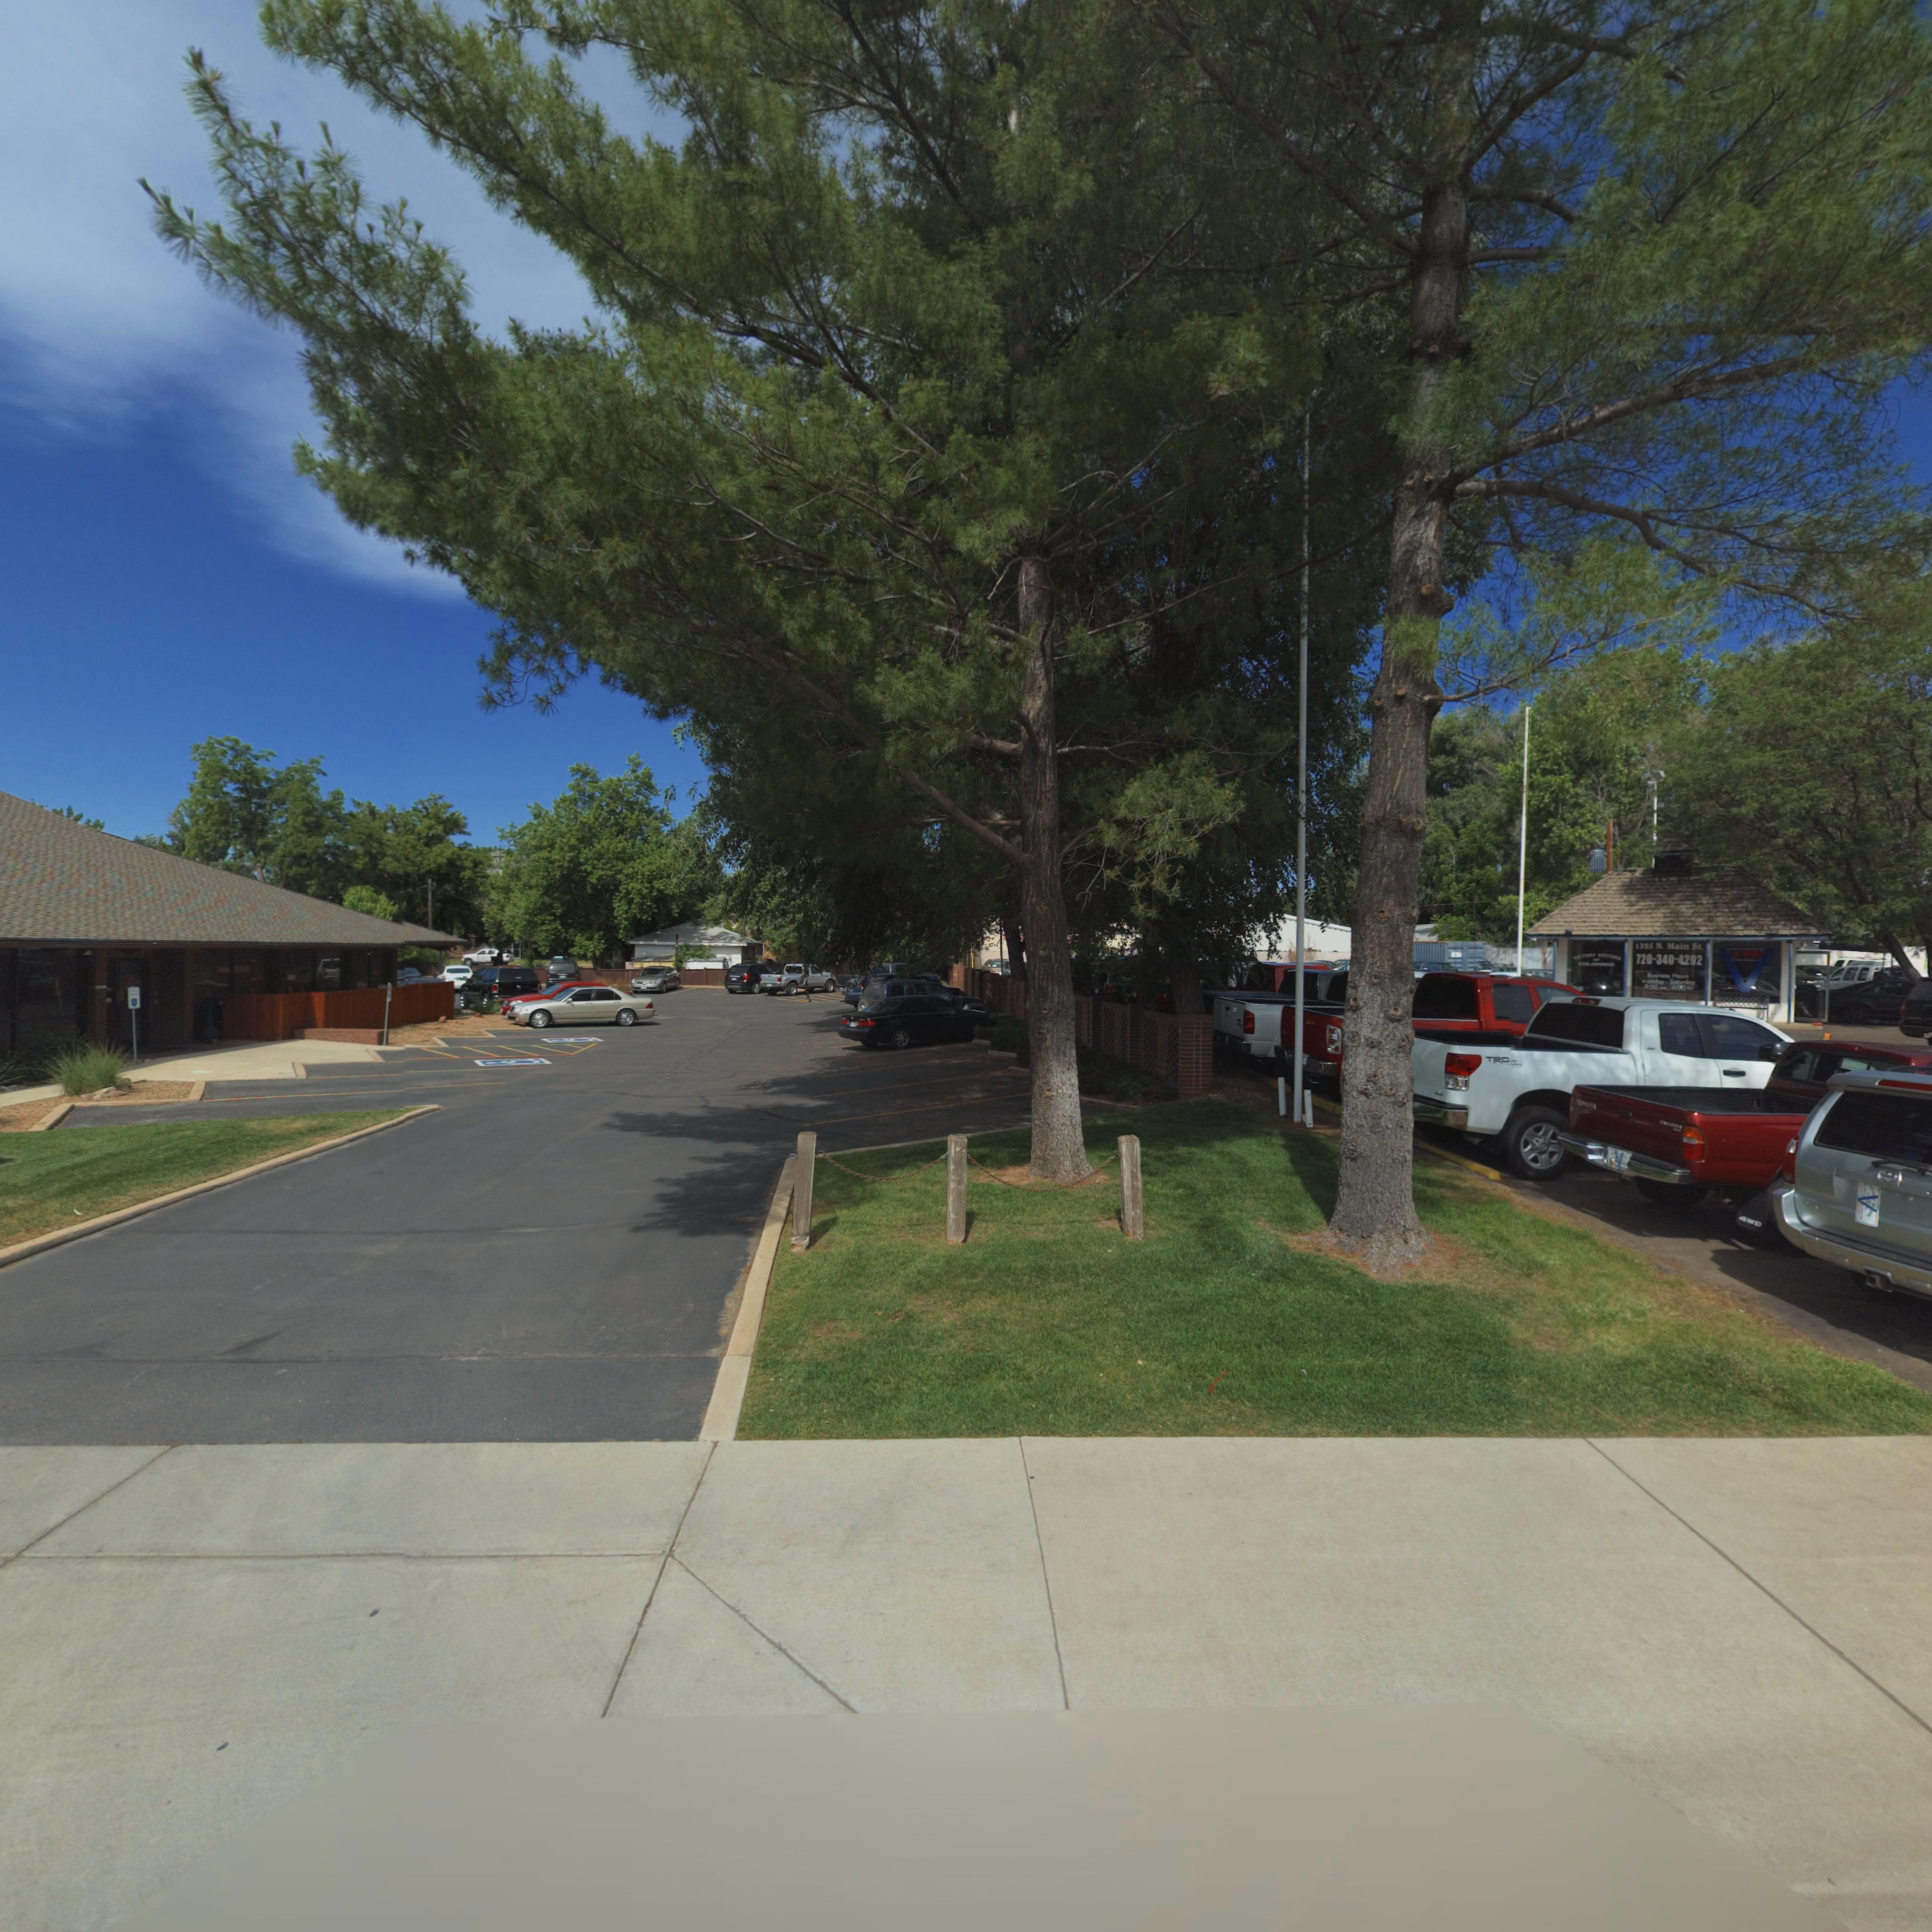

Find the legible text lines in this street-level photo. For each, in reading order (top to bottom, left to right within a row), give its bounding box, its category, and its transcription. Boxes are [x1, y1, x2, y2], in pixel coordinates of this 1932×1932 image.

[1635, 942, 1654, 949] StreetNumber: 1325
[1655, 942, 1703, 950] StreetName: N. Main St
[1572, 952, 1622, 961] BusinessName: ***O** *O*O**
[1577, 961, 1615, 966] BusinessName: *OLO***O